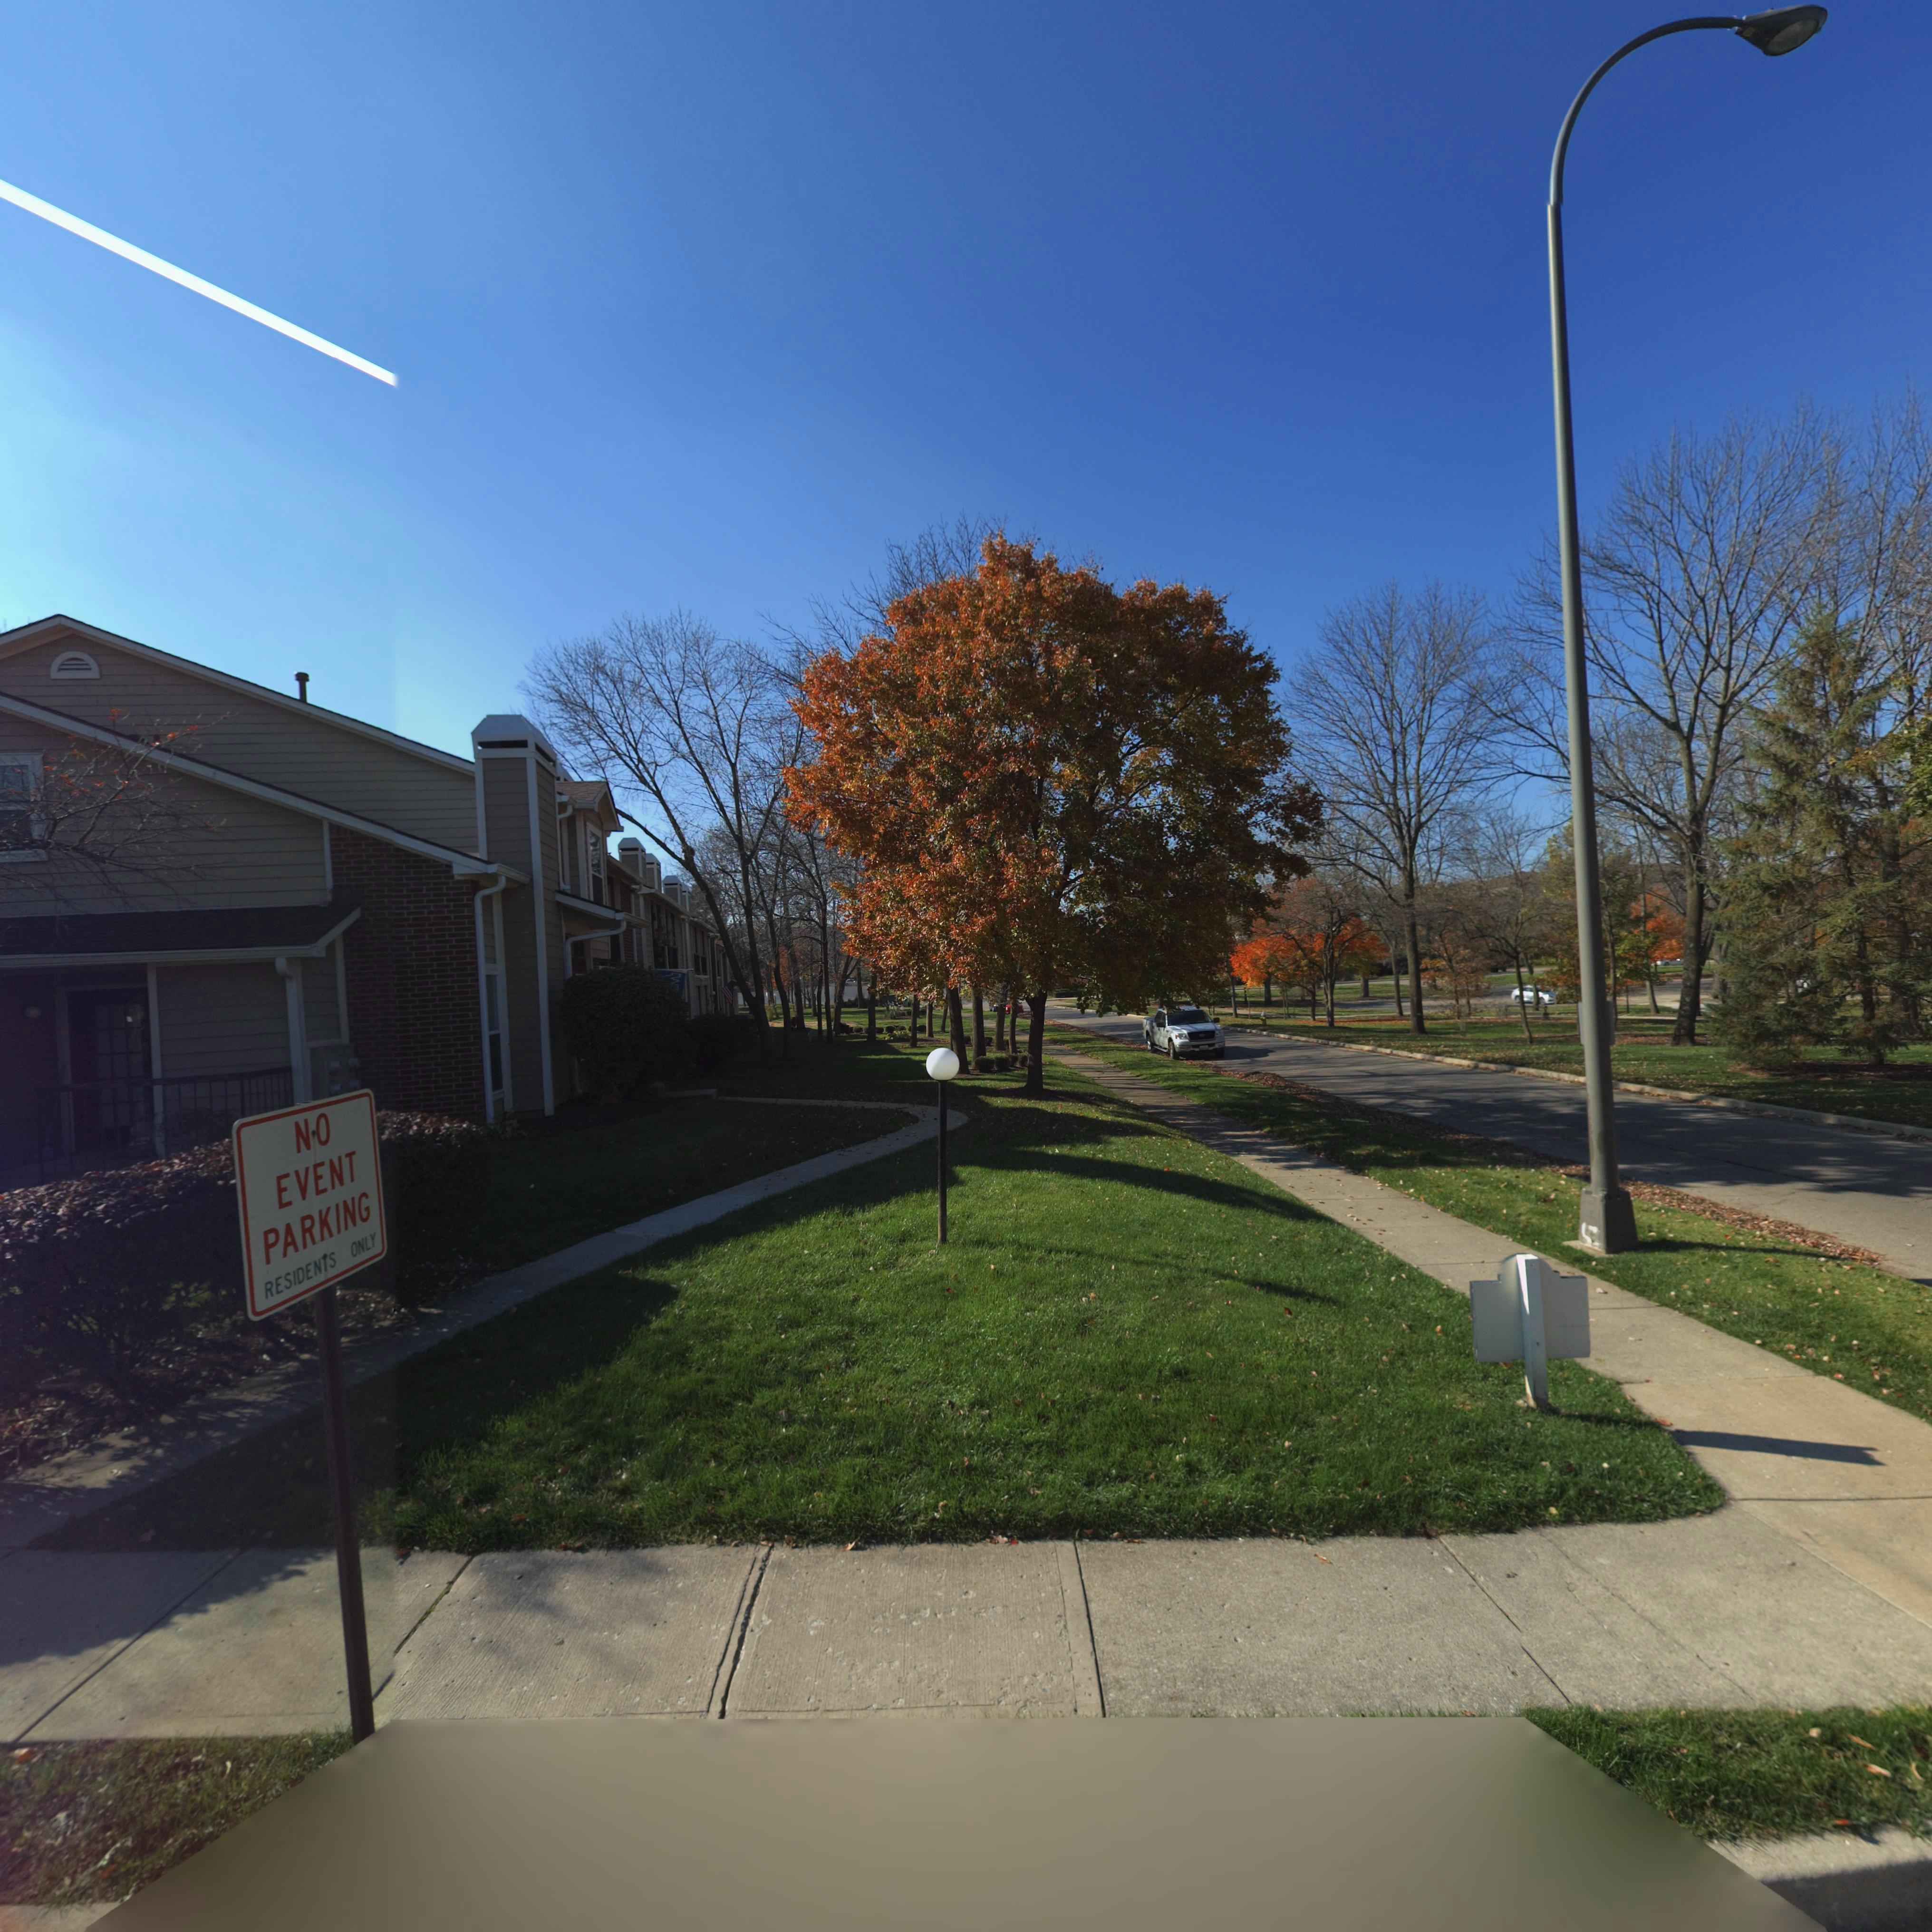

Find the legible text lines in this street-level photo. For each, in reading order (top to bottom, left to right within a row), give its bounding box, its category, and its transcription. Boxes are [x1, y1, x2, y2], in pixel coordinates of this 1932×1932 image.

[292, 1110, 333, 1157] None: NO
[273, 1147, 358, 1212] None: EVENT
[259, 1188, 374, 1268] None: PARKING
[262, 1229, 377, 1302] None: RESIDEN*S ONLY